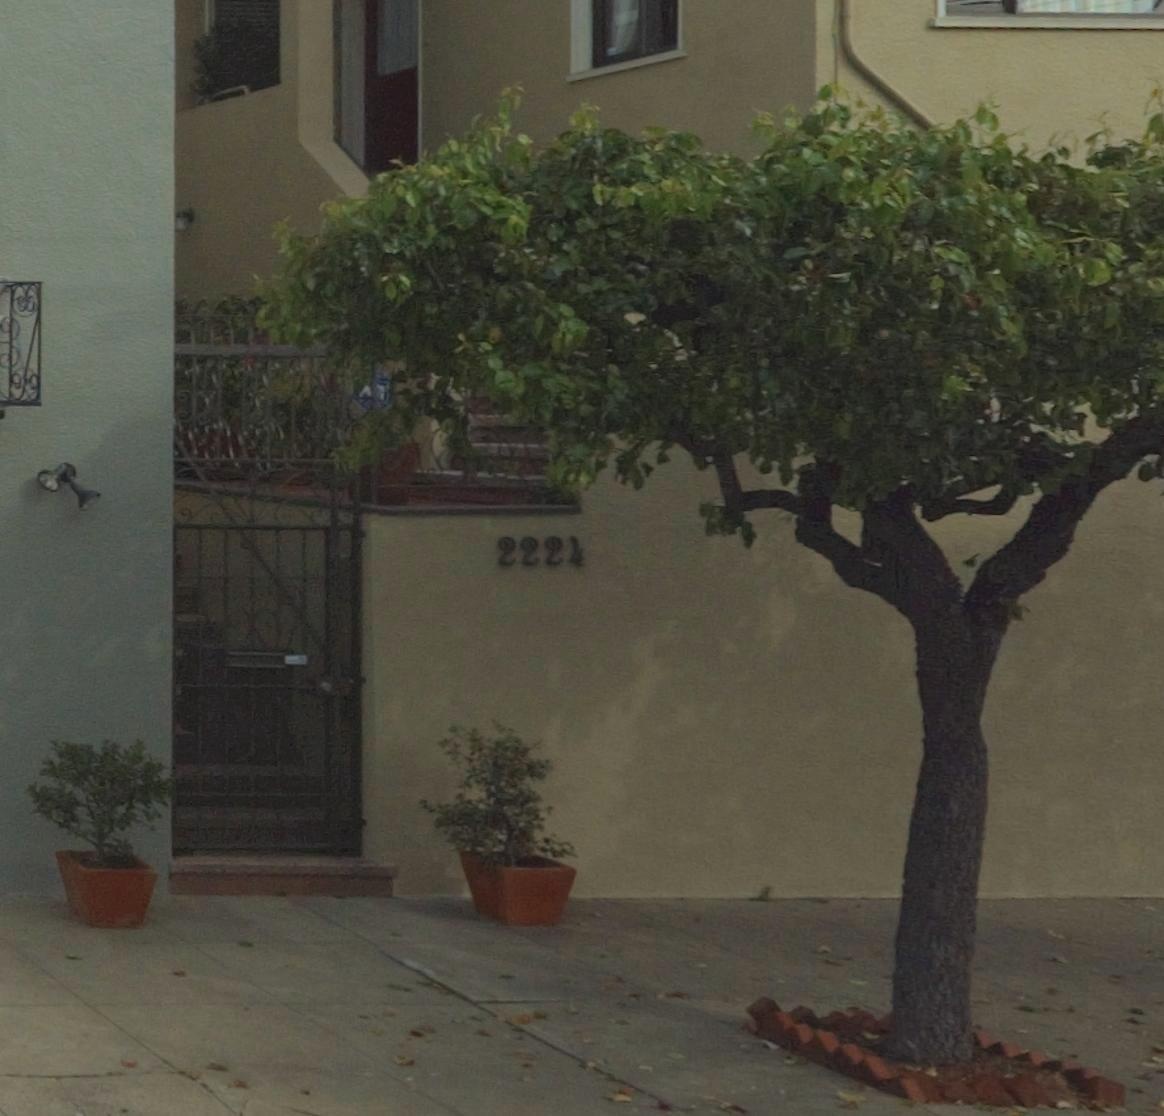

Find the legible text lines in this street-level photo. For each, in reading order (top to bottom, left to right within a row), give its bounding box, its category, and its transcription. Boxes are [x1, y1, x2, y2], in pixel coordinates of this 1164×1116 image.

[496, 534, 587, 568] StreetNumber: 2224